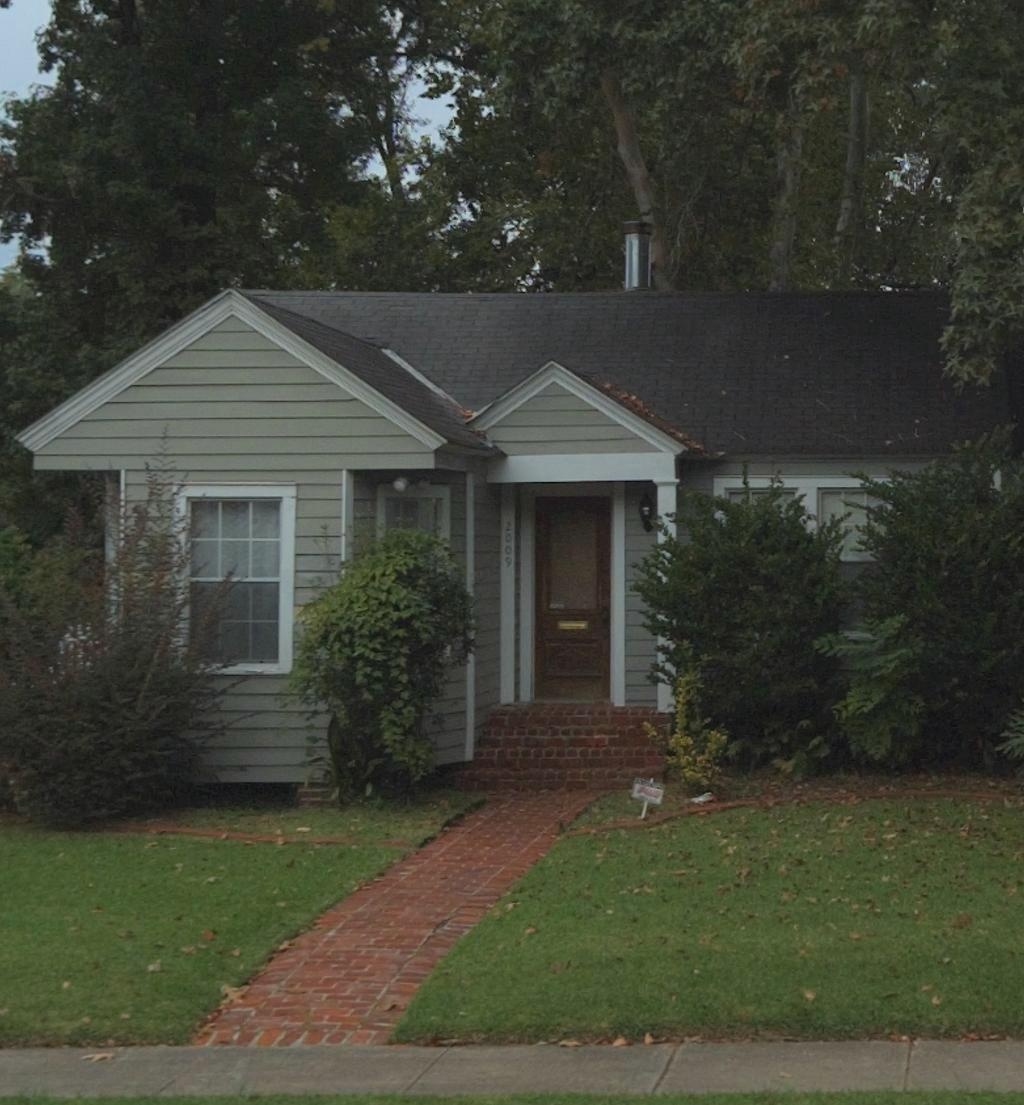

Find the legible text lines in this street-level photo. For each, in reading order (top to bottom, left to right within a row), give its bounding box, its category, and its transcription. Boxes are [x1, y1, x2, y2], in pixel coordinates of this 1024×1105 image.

[503, 521, 513, 569] StreetNumber: 2009